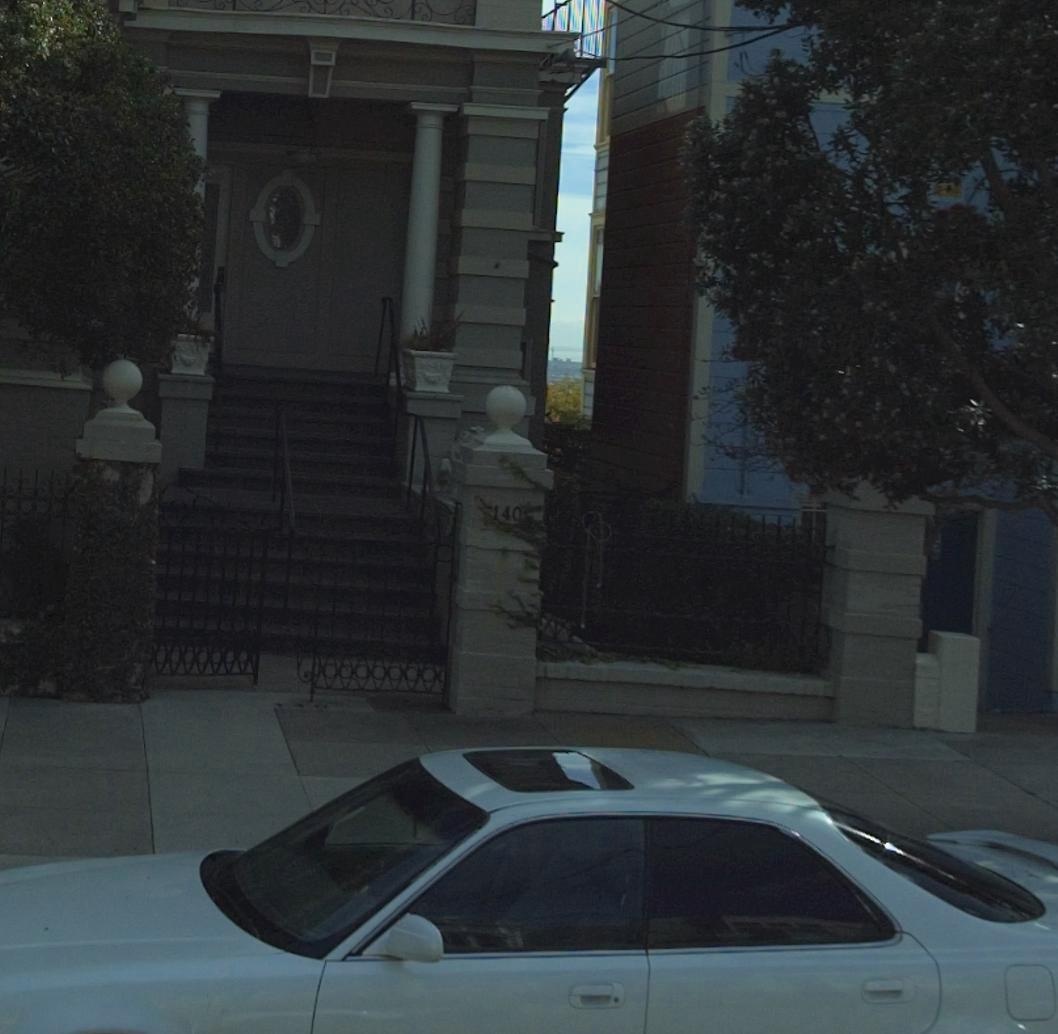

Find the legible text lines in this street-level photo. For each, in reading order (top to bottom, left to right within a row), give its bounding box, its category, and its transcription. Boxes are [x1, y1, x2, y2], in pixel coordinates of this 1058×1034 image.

[491, 504, 522, 522] StreetNumber: 140